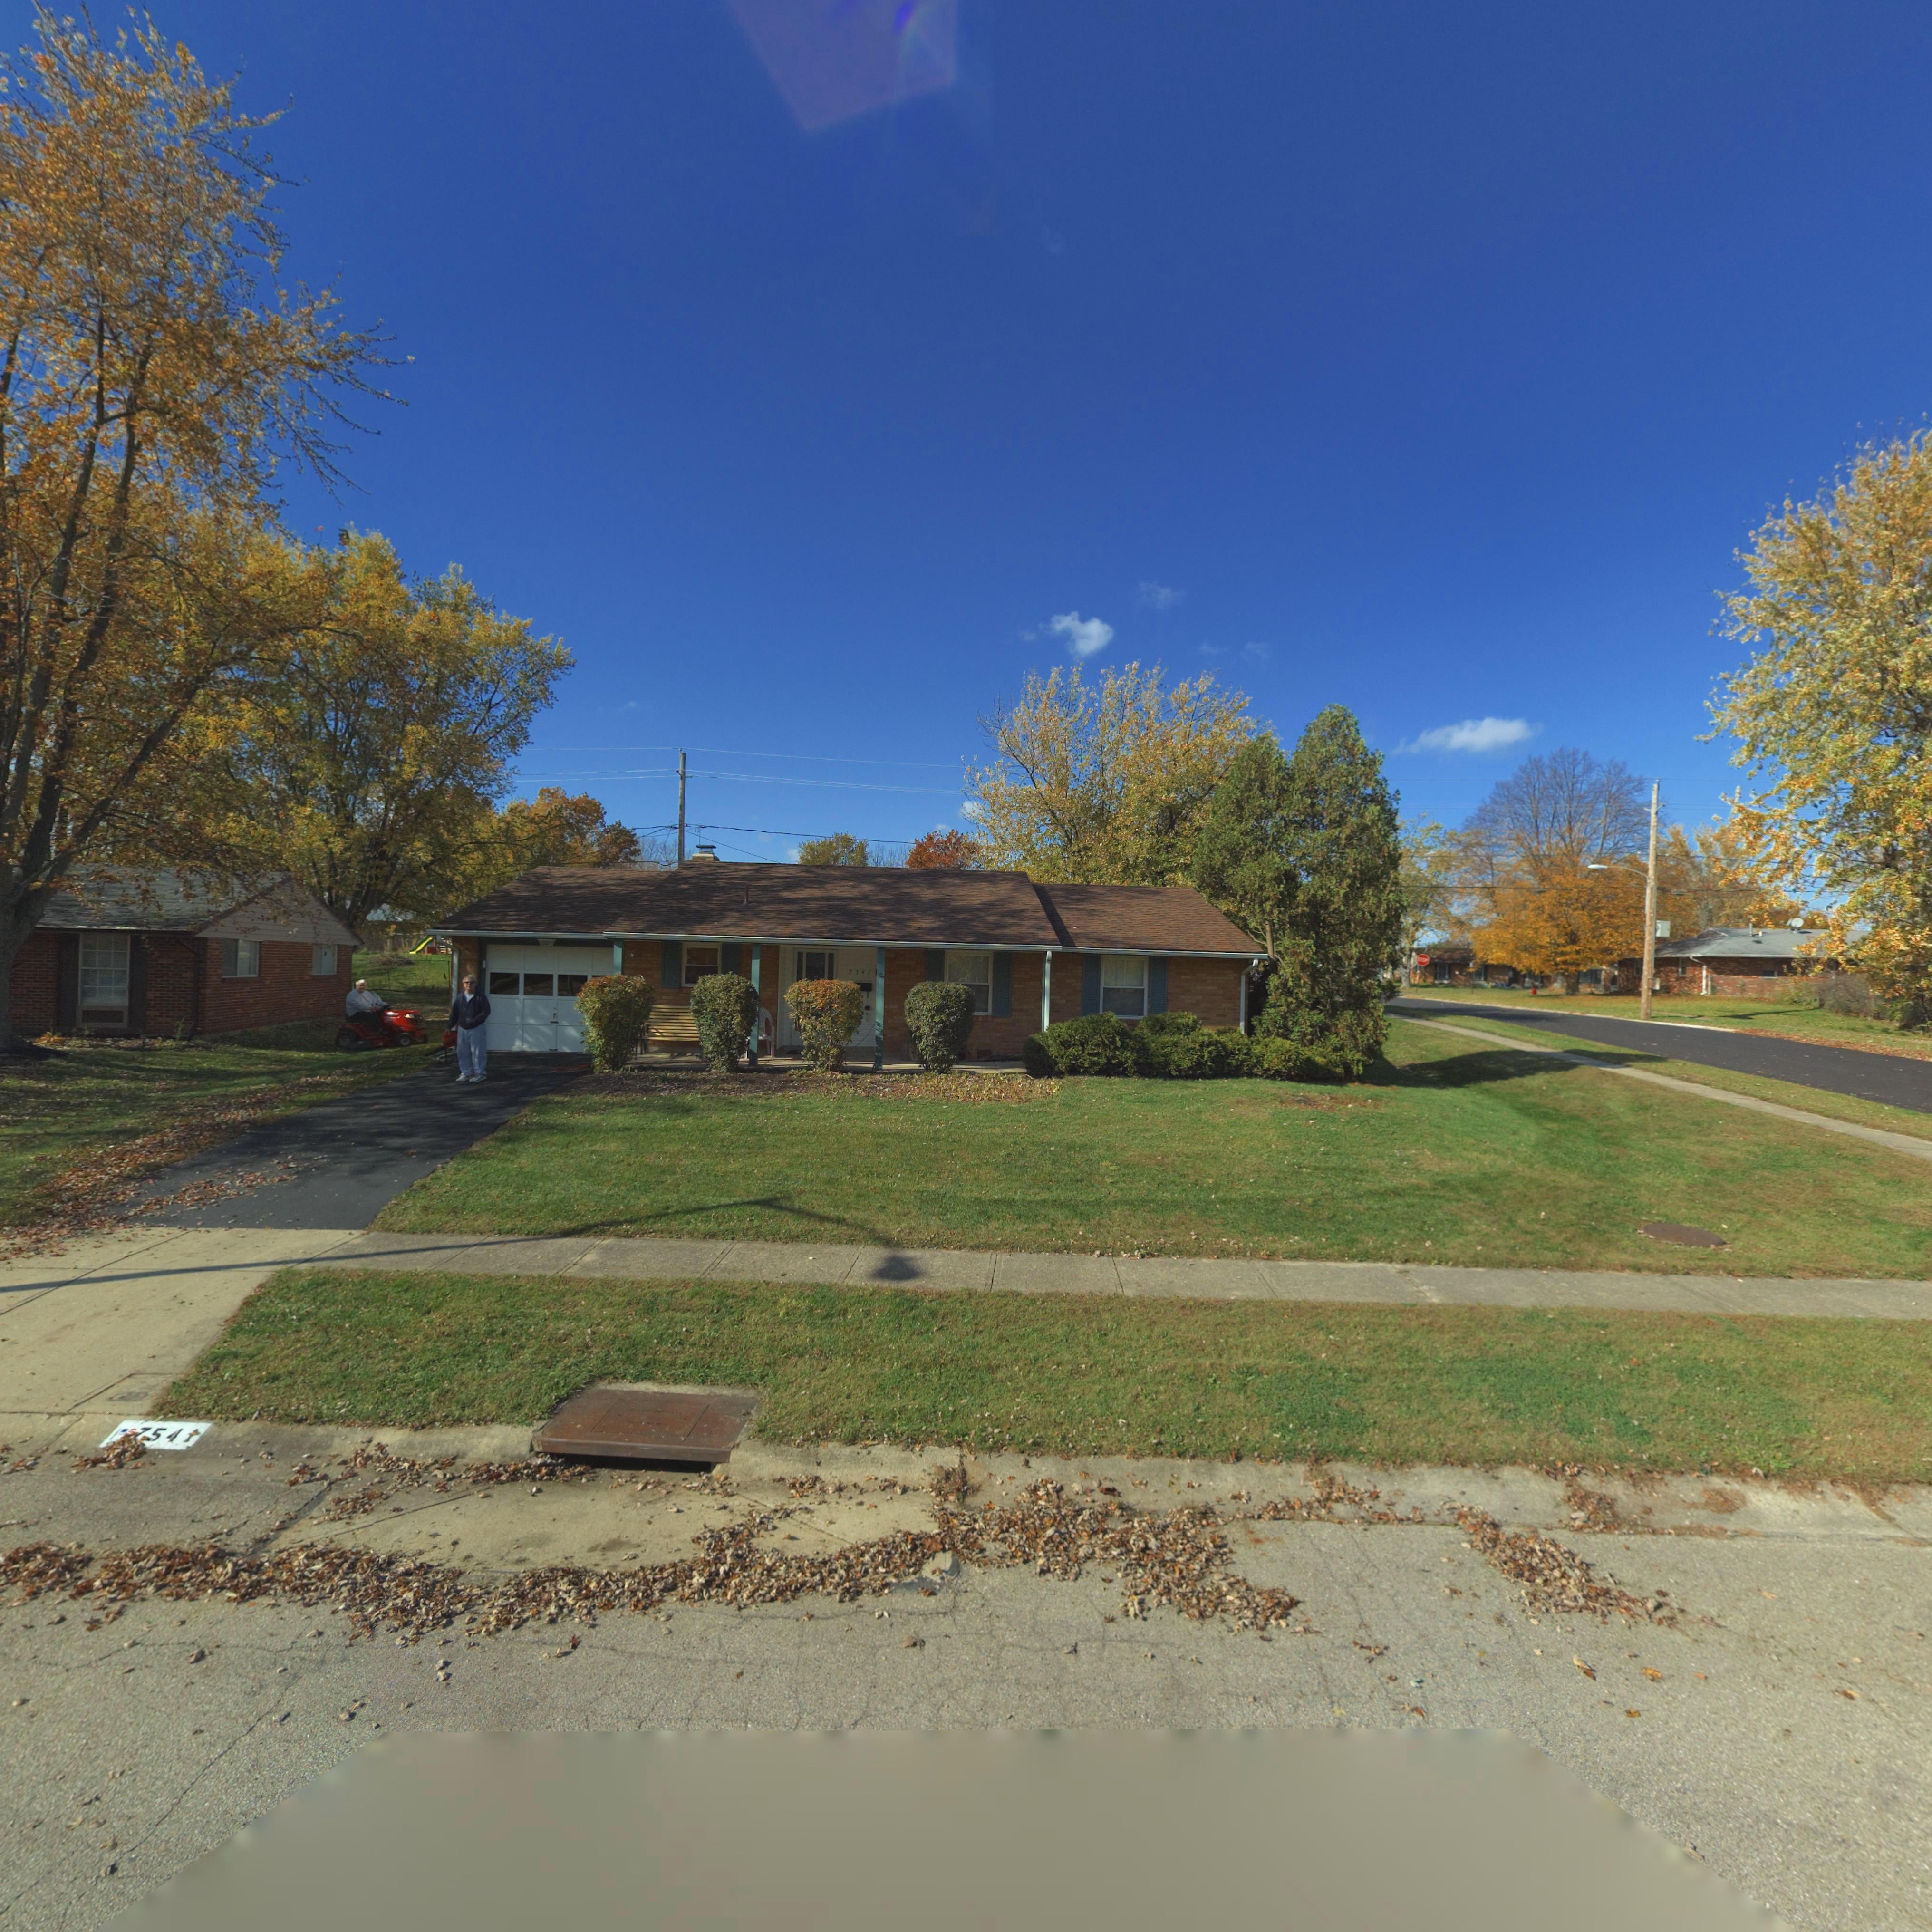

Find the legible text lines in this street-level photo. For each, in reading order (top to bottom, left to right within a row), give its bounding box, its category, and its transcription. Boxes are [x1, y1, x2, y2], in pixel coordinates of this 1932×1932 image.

[847, 969, 872, 976] StreetNumber: *541
[126, 1424, 202, 1446] StreetNumber: *54*